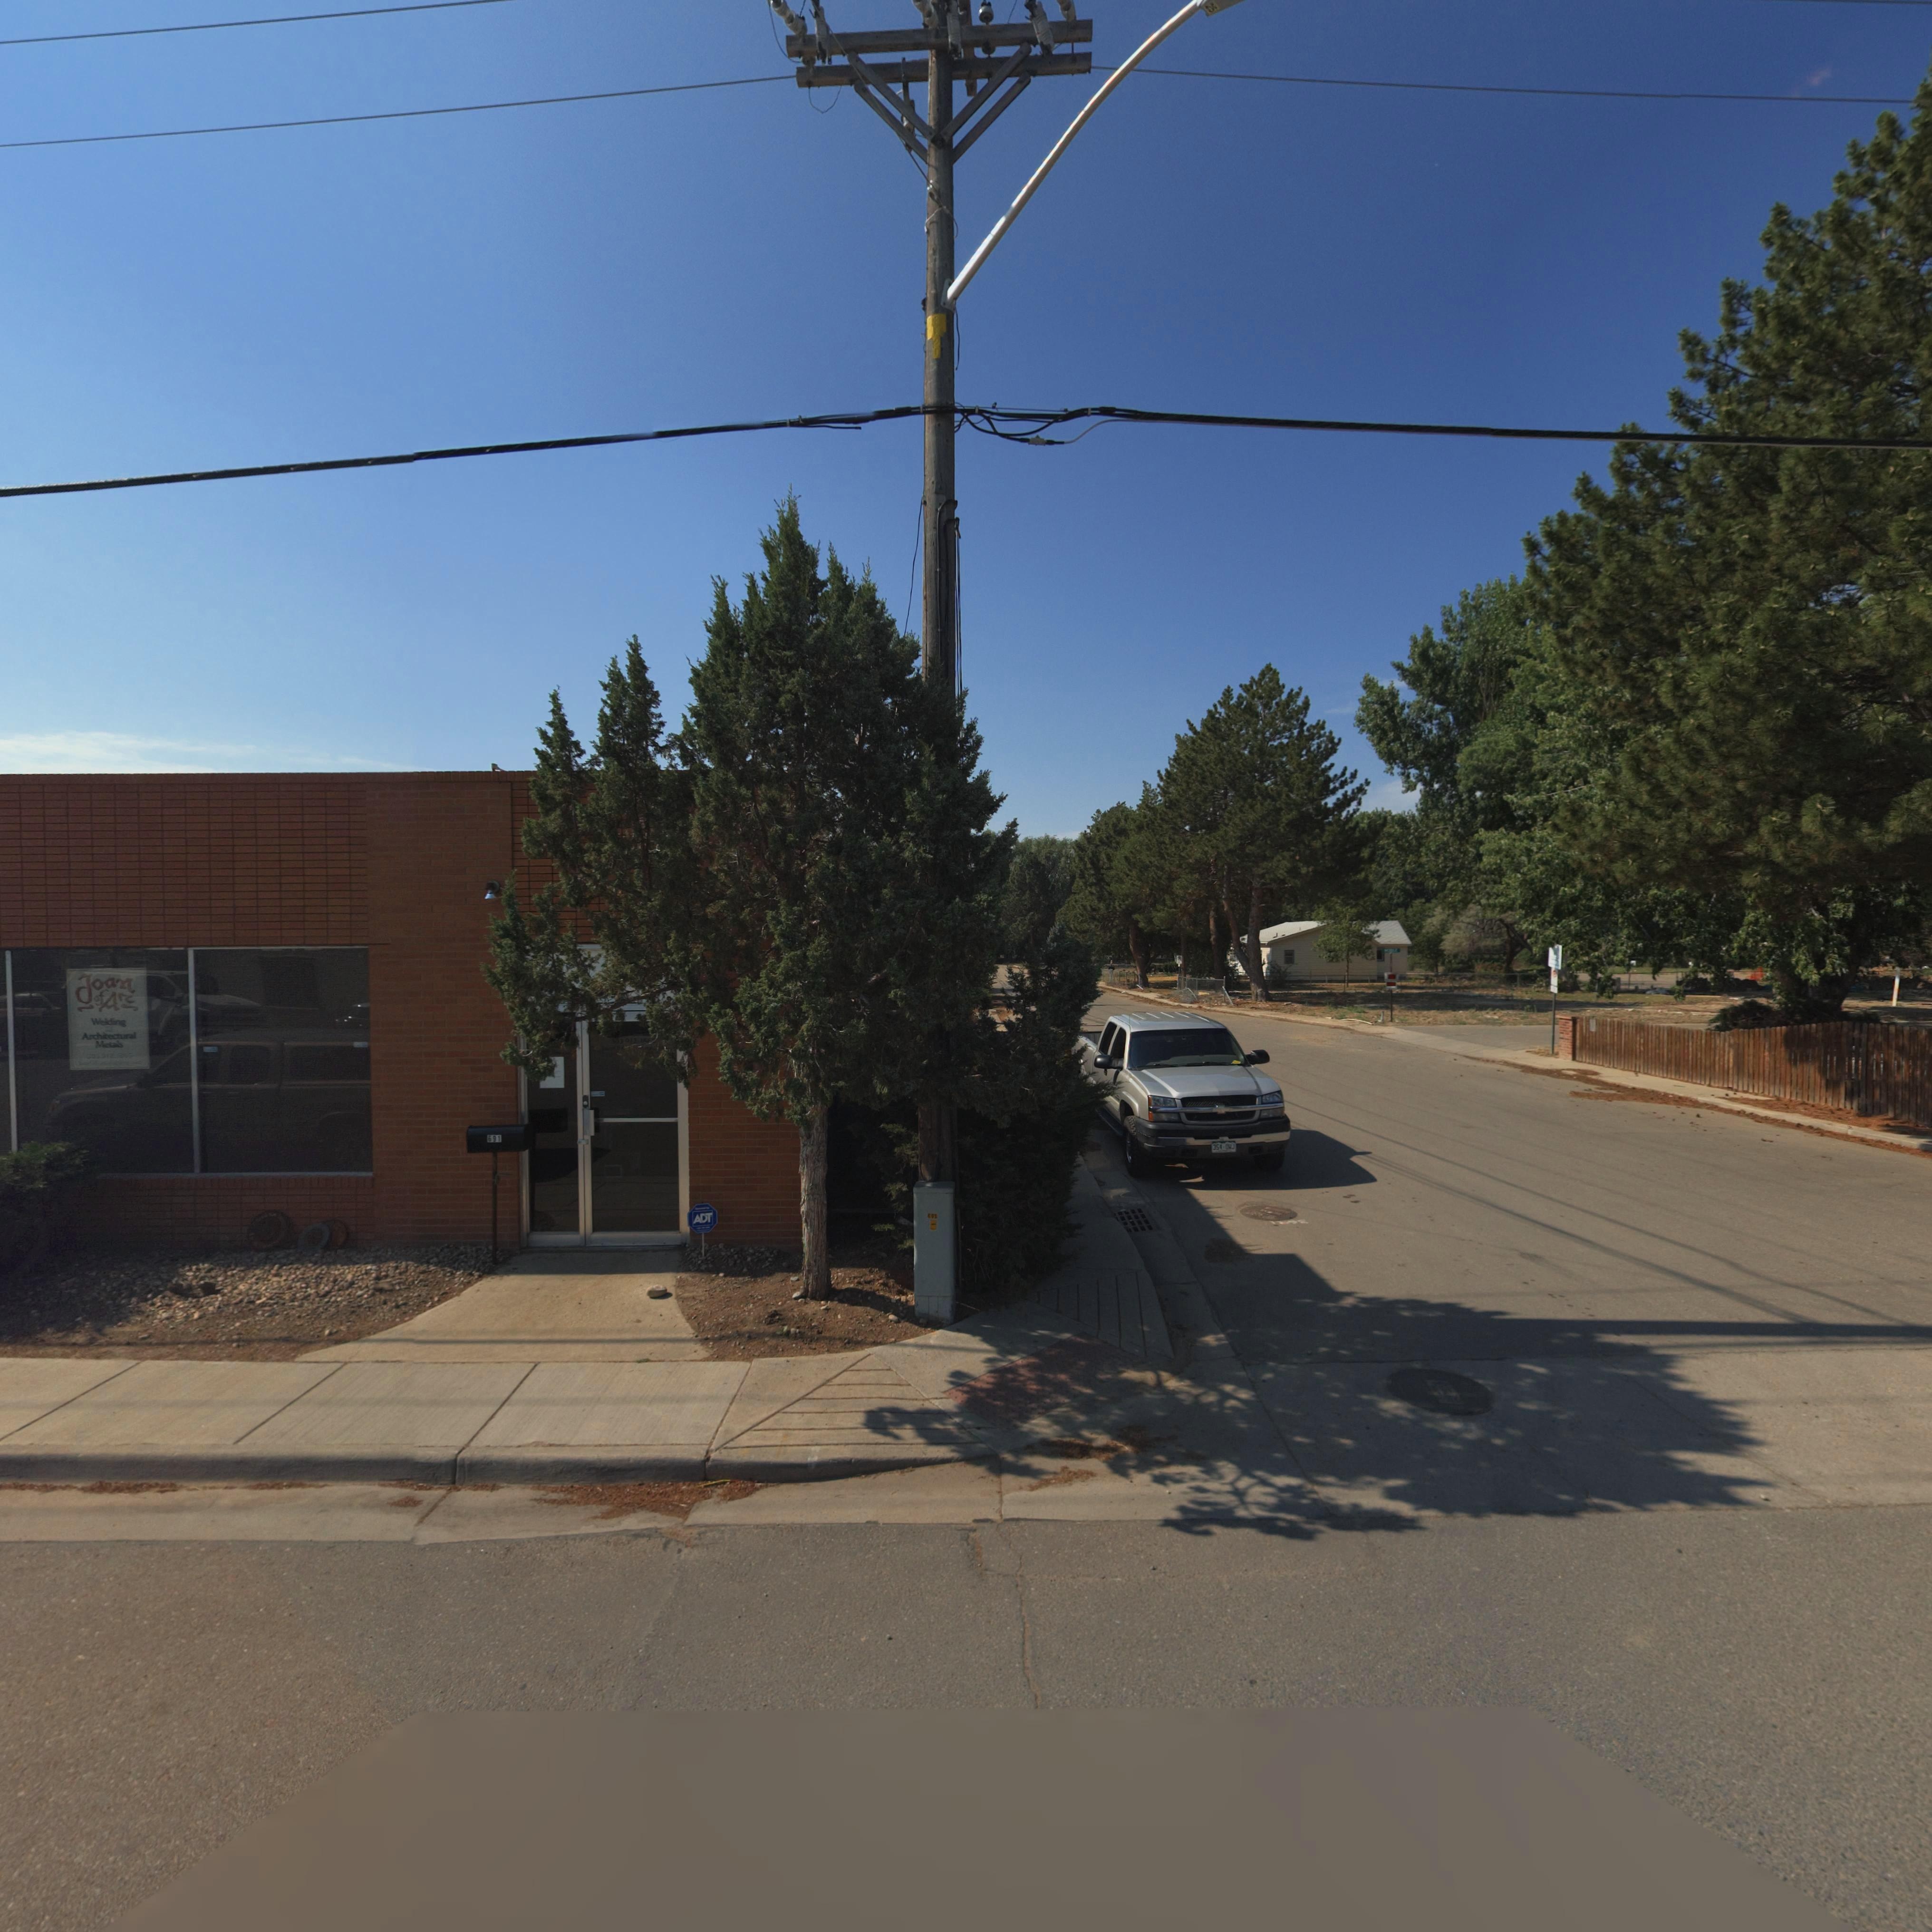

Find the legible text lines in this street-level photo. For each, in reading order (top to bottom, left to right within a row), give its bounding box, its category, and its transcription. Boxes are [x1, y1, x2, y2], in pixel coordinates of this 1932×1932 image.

[1384, 948, 1398, 952] StreetName: *****LE
[73, 972, 137, 1005] BusinessName: Joan
[93, 989, 137, 1013] BusinessName: of Arc
[487, 1135, 500, 1142] StreetNumber: 691